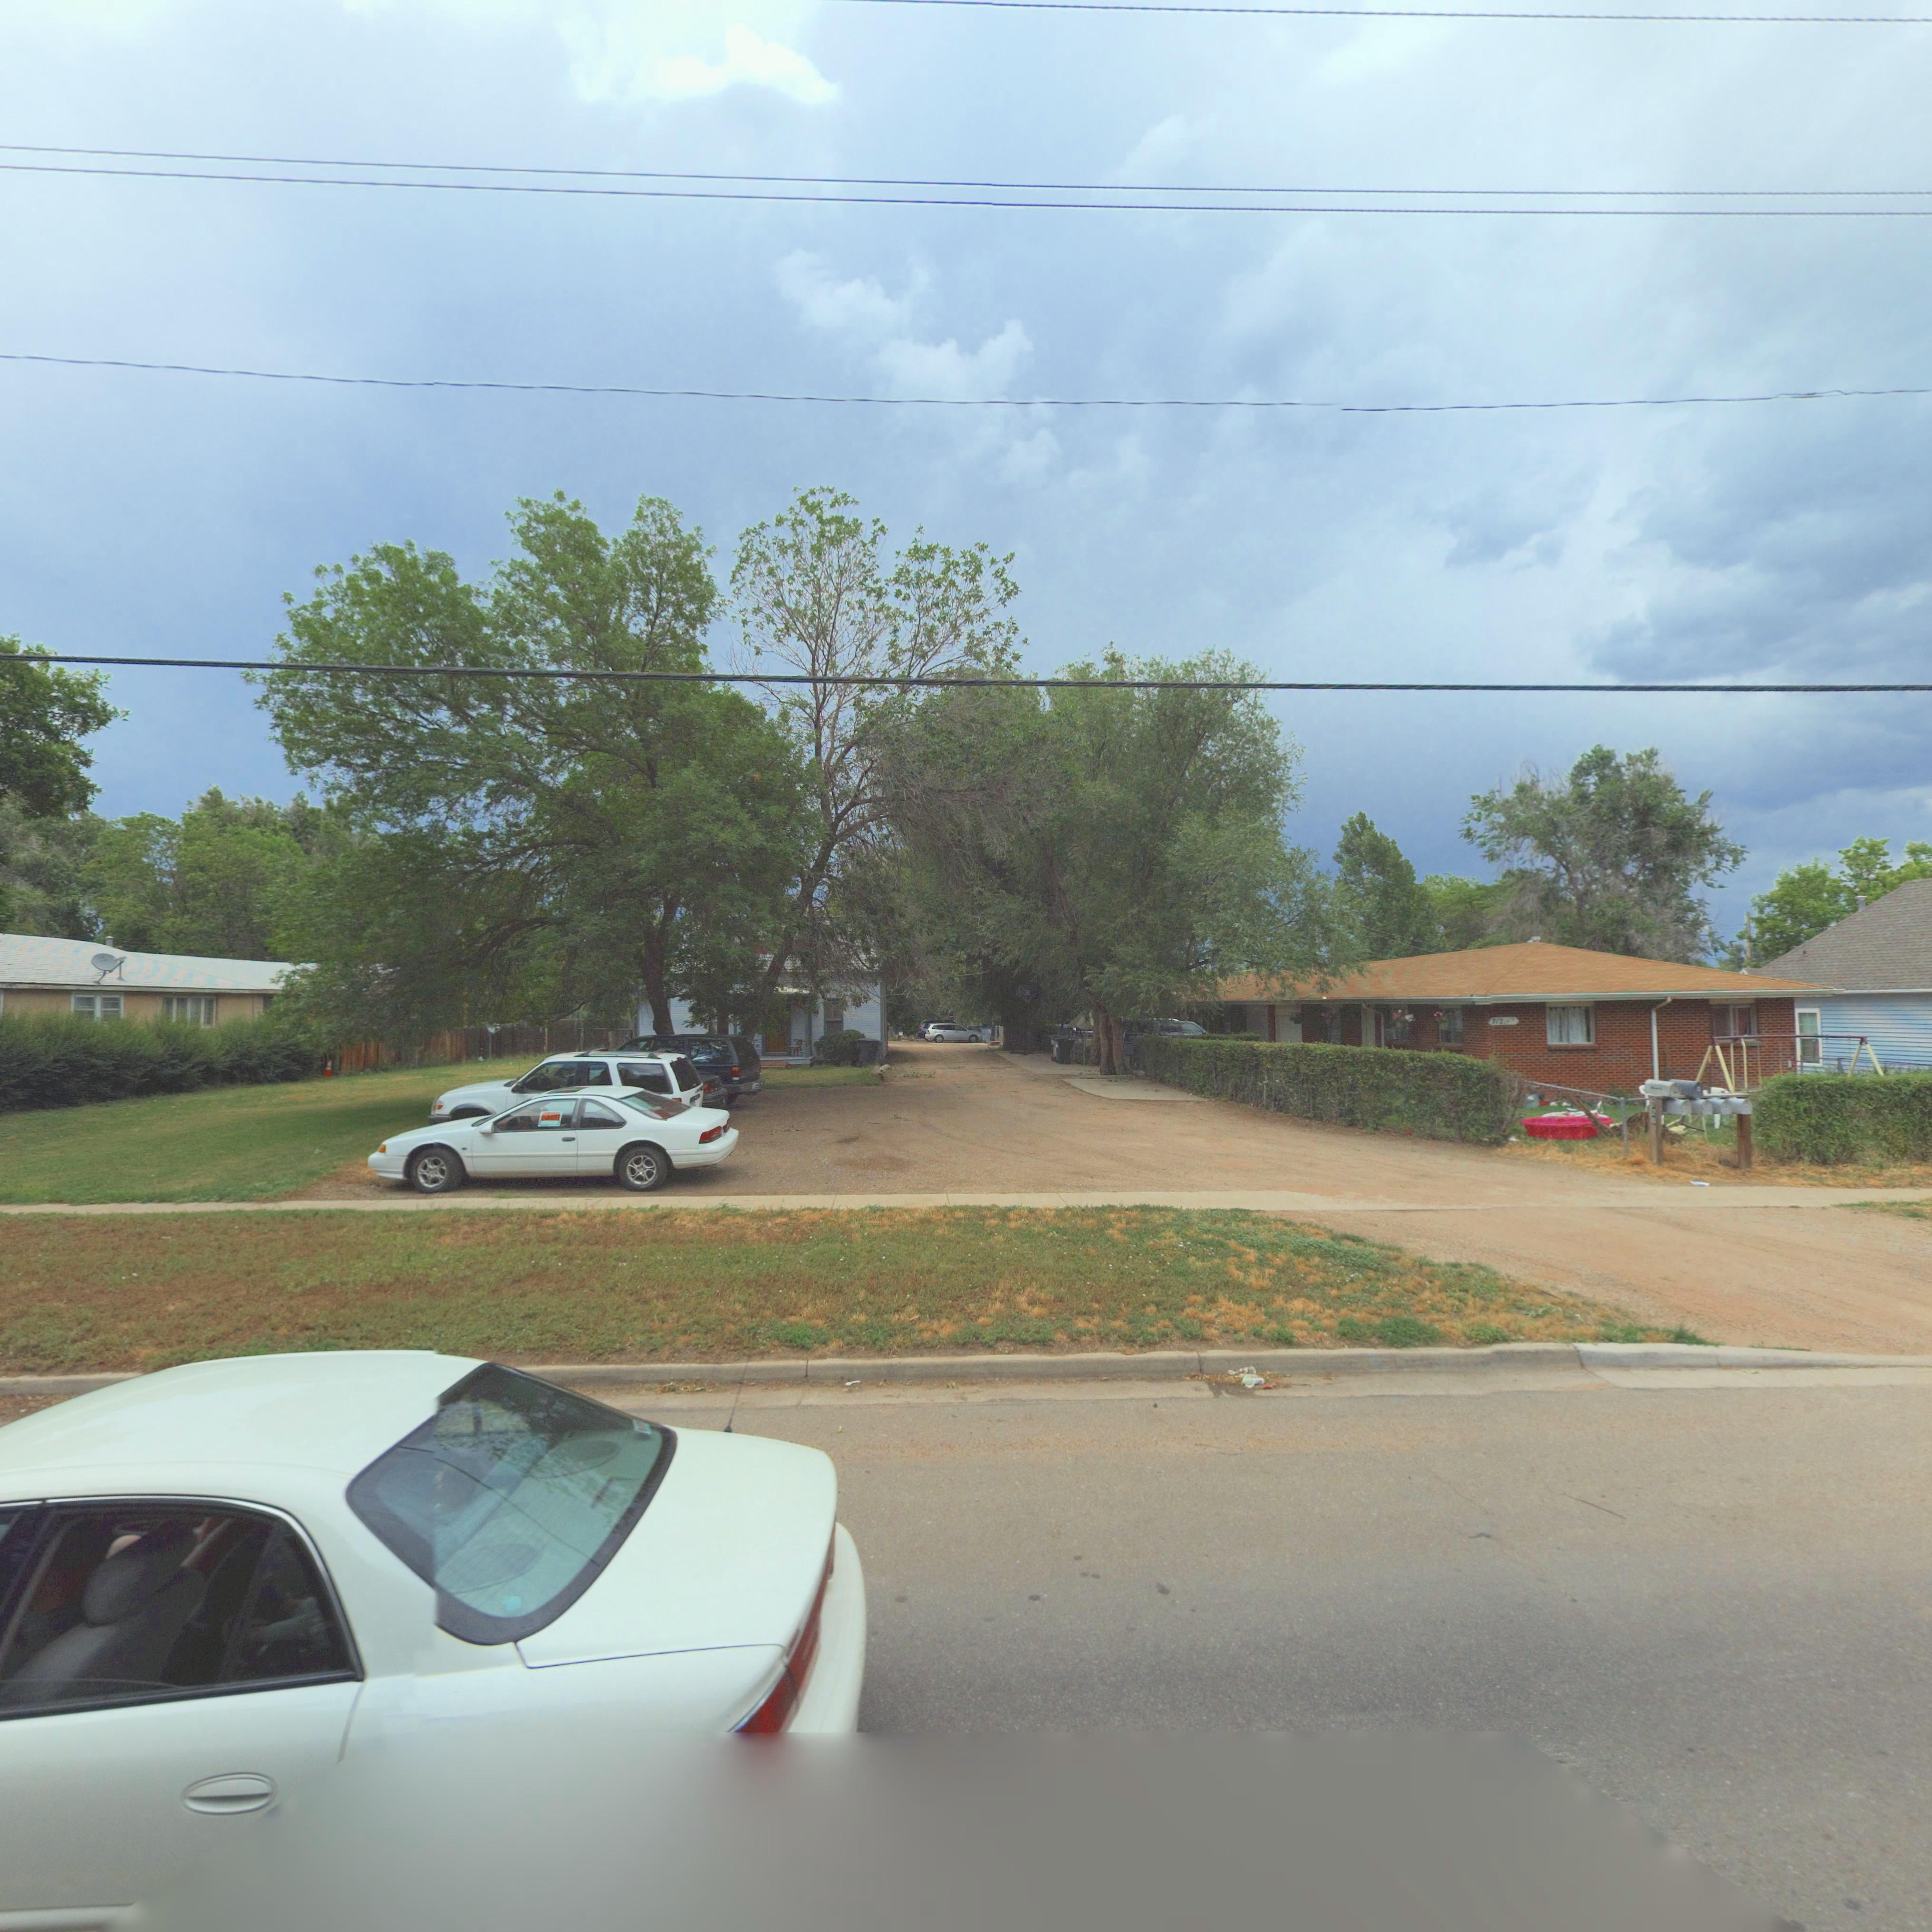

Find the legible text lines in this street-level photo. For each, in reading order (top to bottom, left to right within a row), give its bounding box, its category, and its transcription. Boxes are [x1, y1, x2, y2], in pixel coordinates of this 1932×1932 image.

[1491, 1018, 1503, 1024] StreetNumber: 712